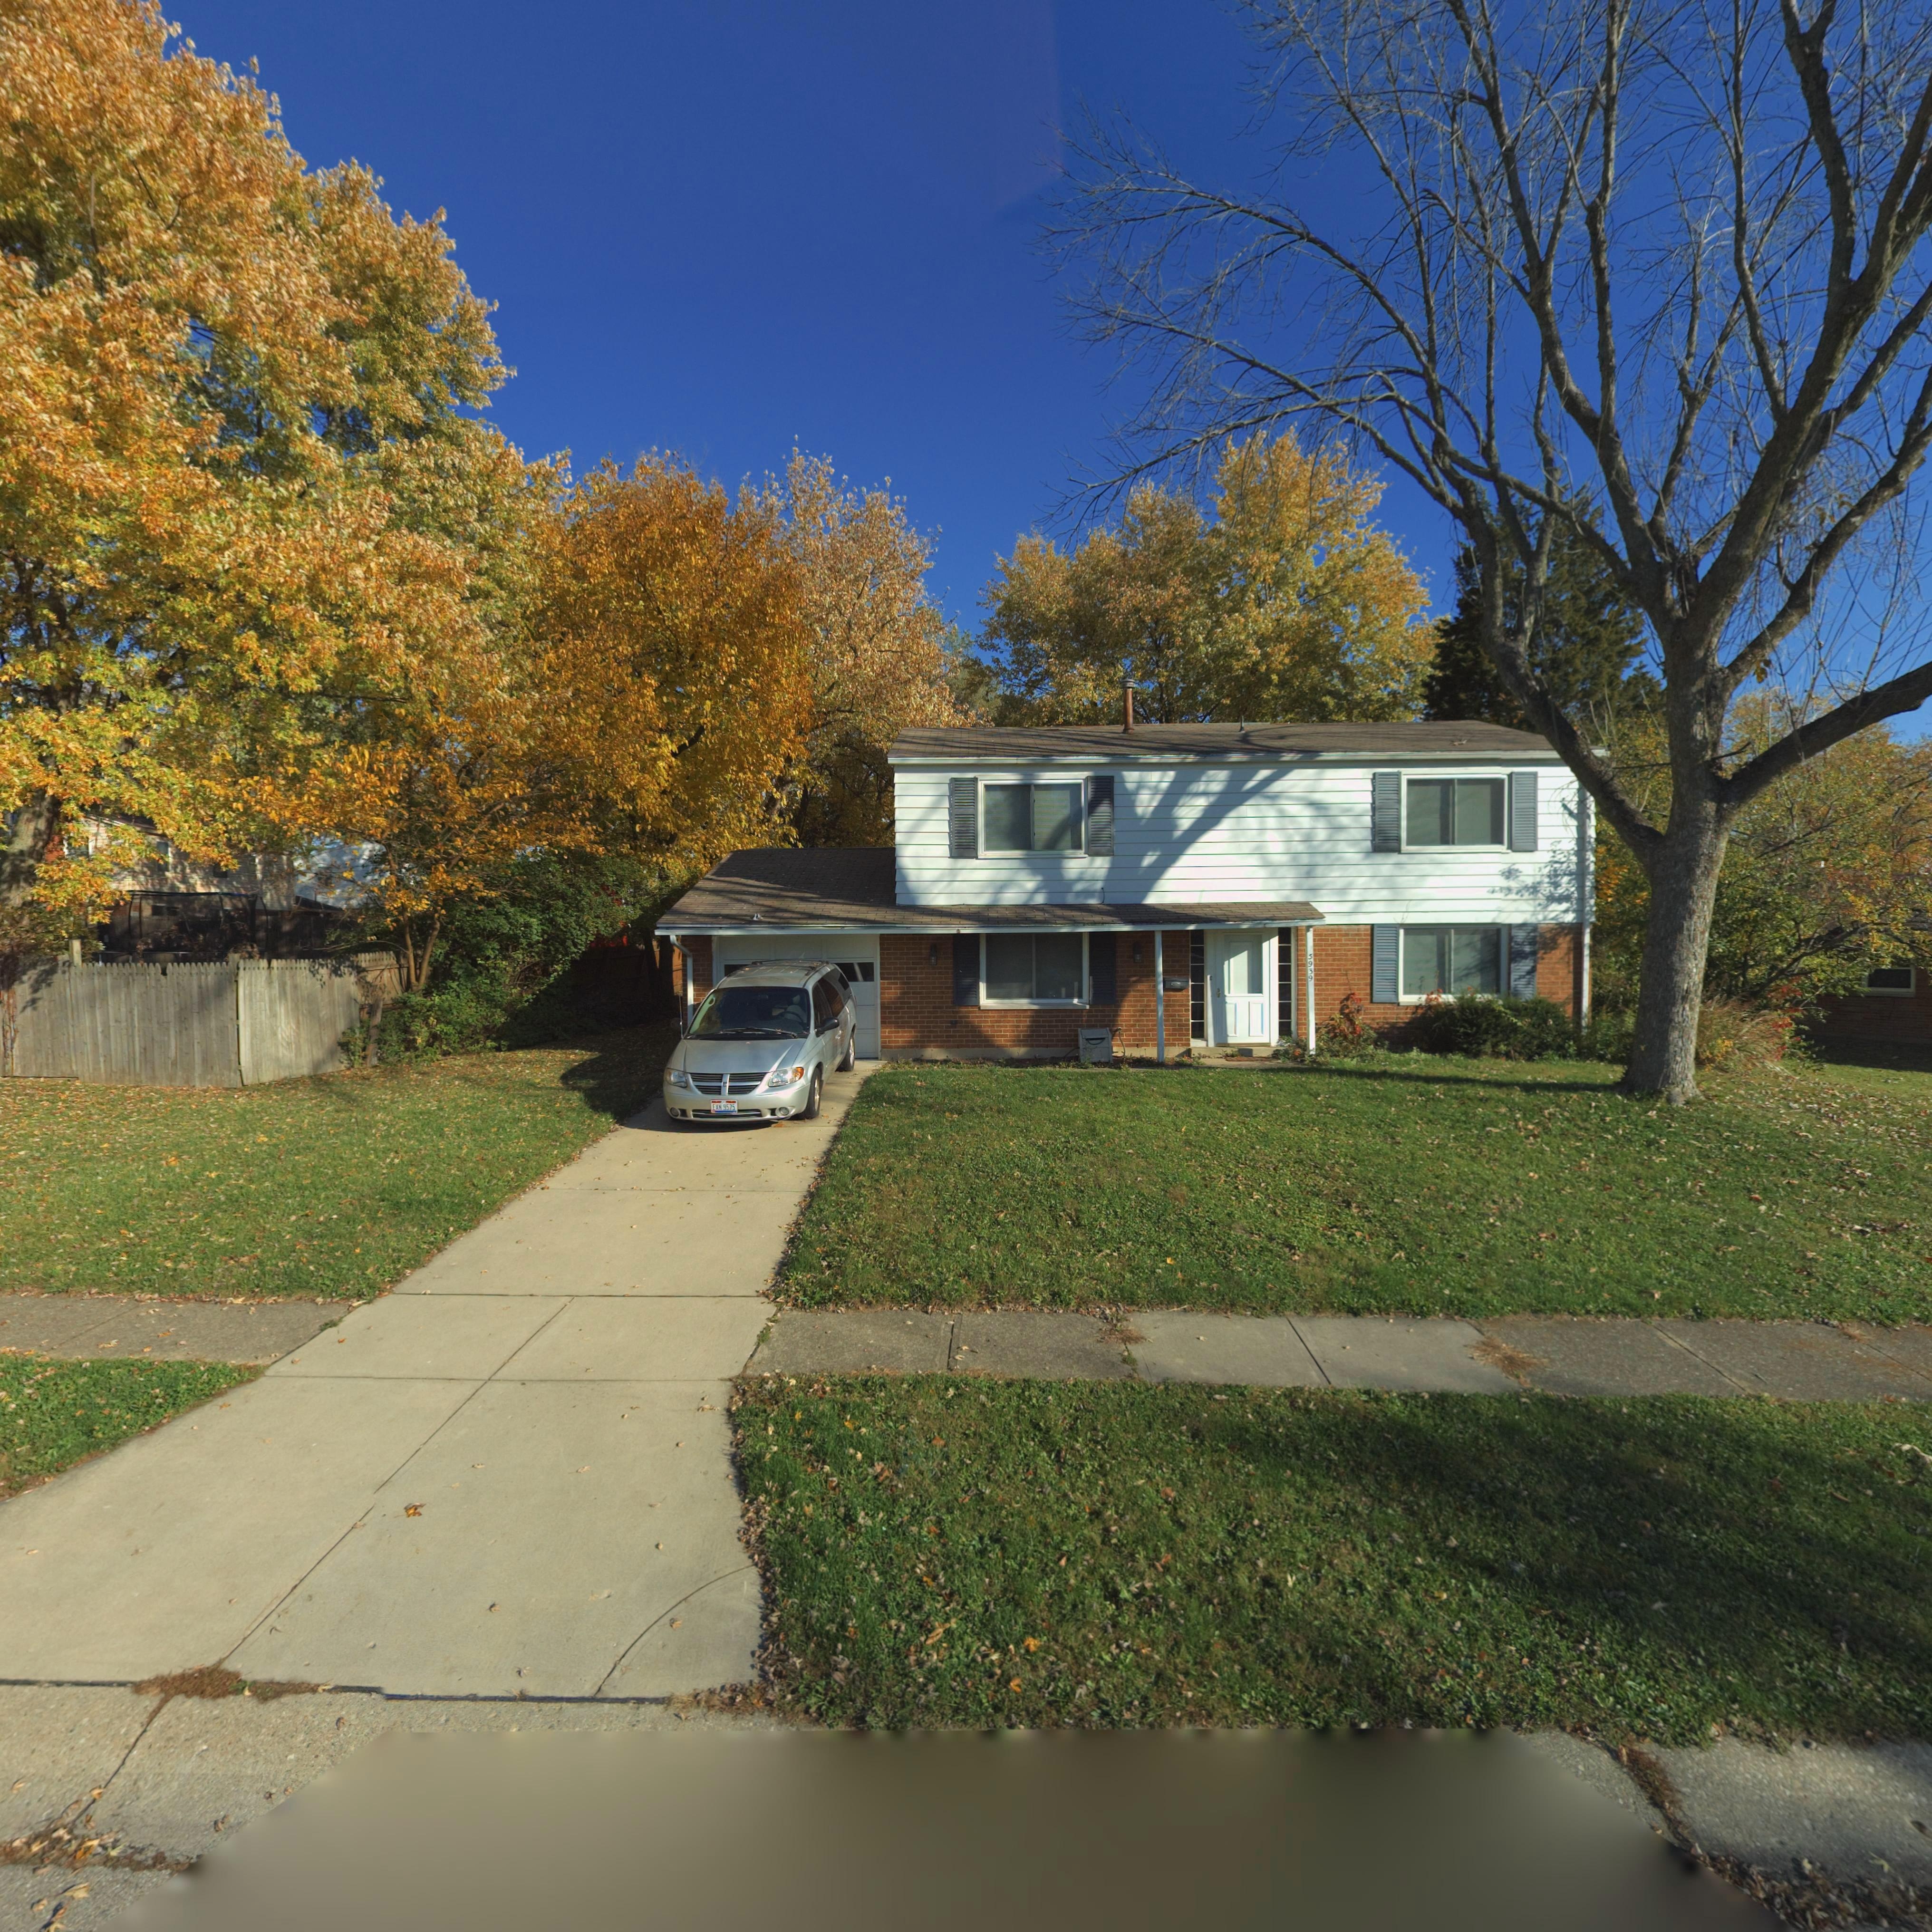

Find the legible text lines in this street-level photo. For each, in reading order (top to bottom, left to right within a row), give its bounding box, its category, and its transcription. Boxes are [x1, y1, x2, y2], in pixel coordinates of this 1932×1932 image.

[1306, 953, 1314, 983] StreetNumber: 5939